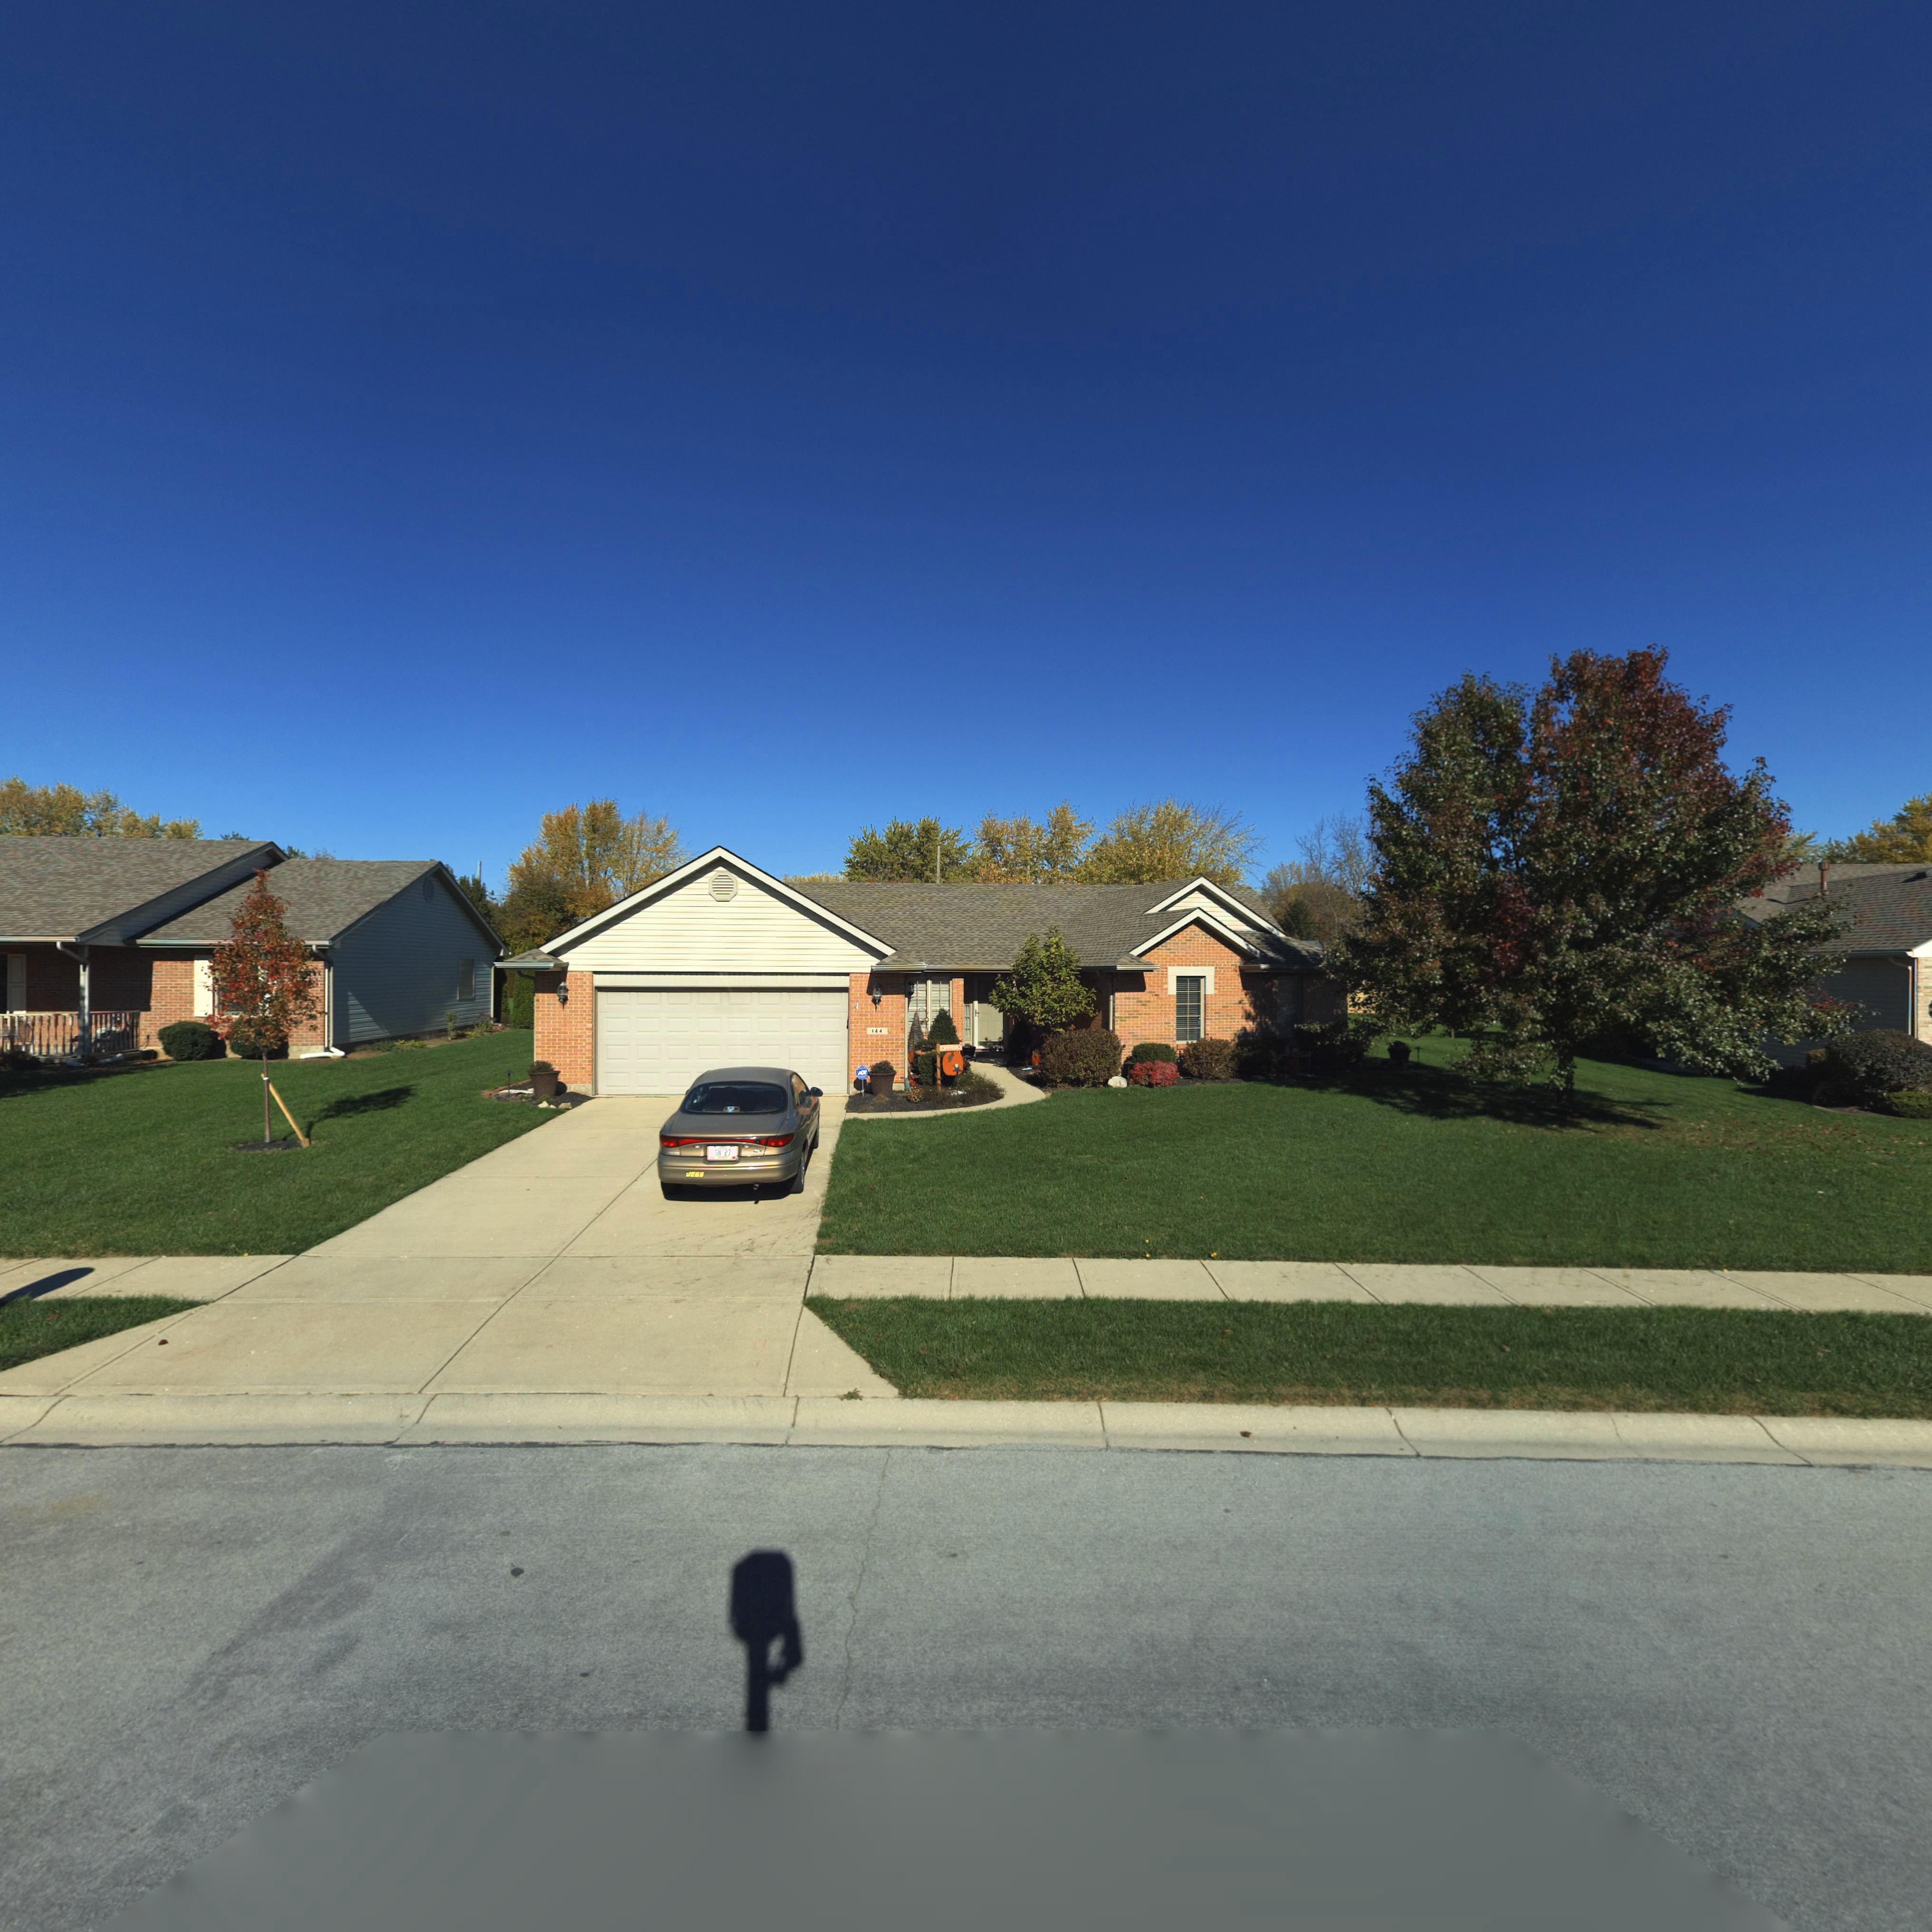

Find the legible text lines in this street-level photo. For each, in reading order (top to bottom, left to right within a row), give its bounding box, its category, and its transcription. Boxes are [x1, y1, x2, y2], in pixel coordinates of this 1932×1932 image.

[871, 1028, 882, 1034] StreetNumber: 144
[714, 1148, 731, 1157] None: S* 27